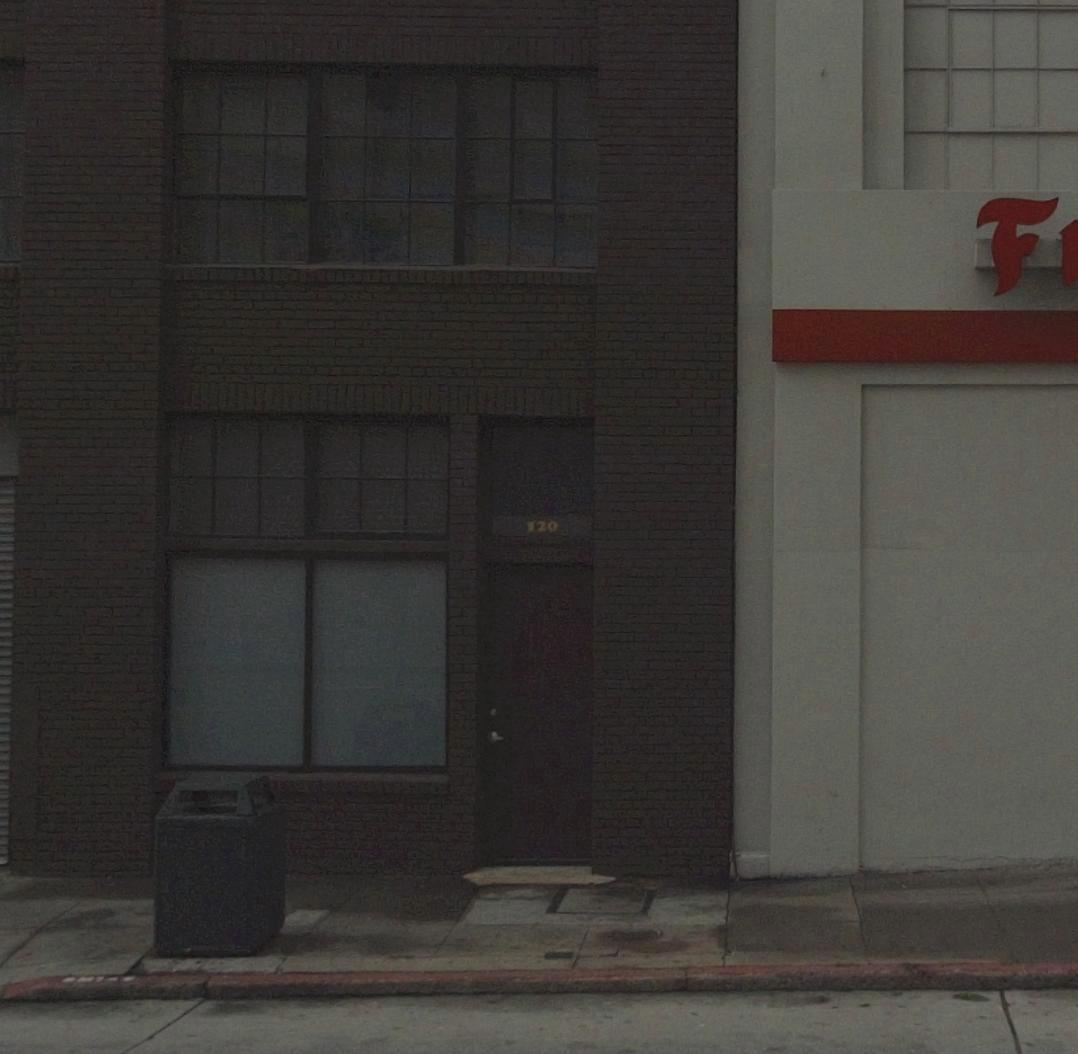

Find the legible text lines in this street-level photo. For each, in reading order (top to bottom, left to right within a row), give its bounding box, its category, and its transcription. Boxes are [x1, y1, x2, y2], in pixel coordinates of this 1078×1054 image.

[970, 193, 1063, 300] None: F
[525, 518, 559, 534] StreetNumber: 120